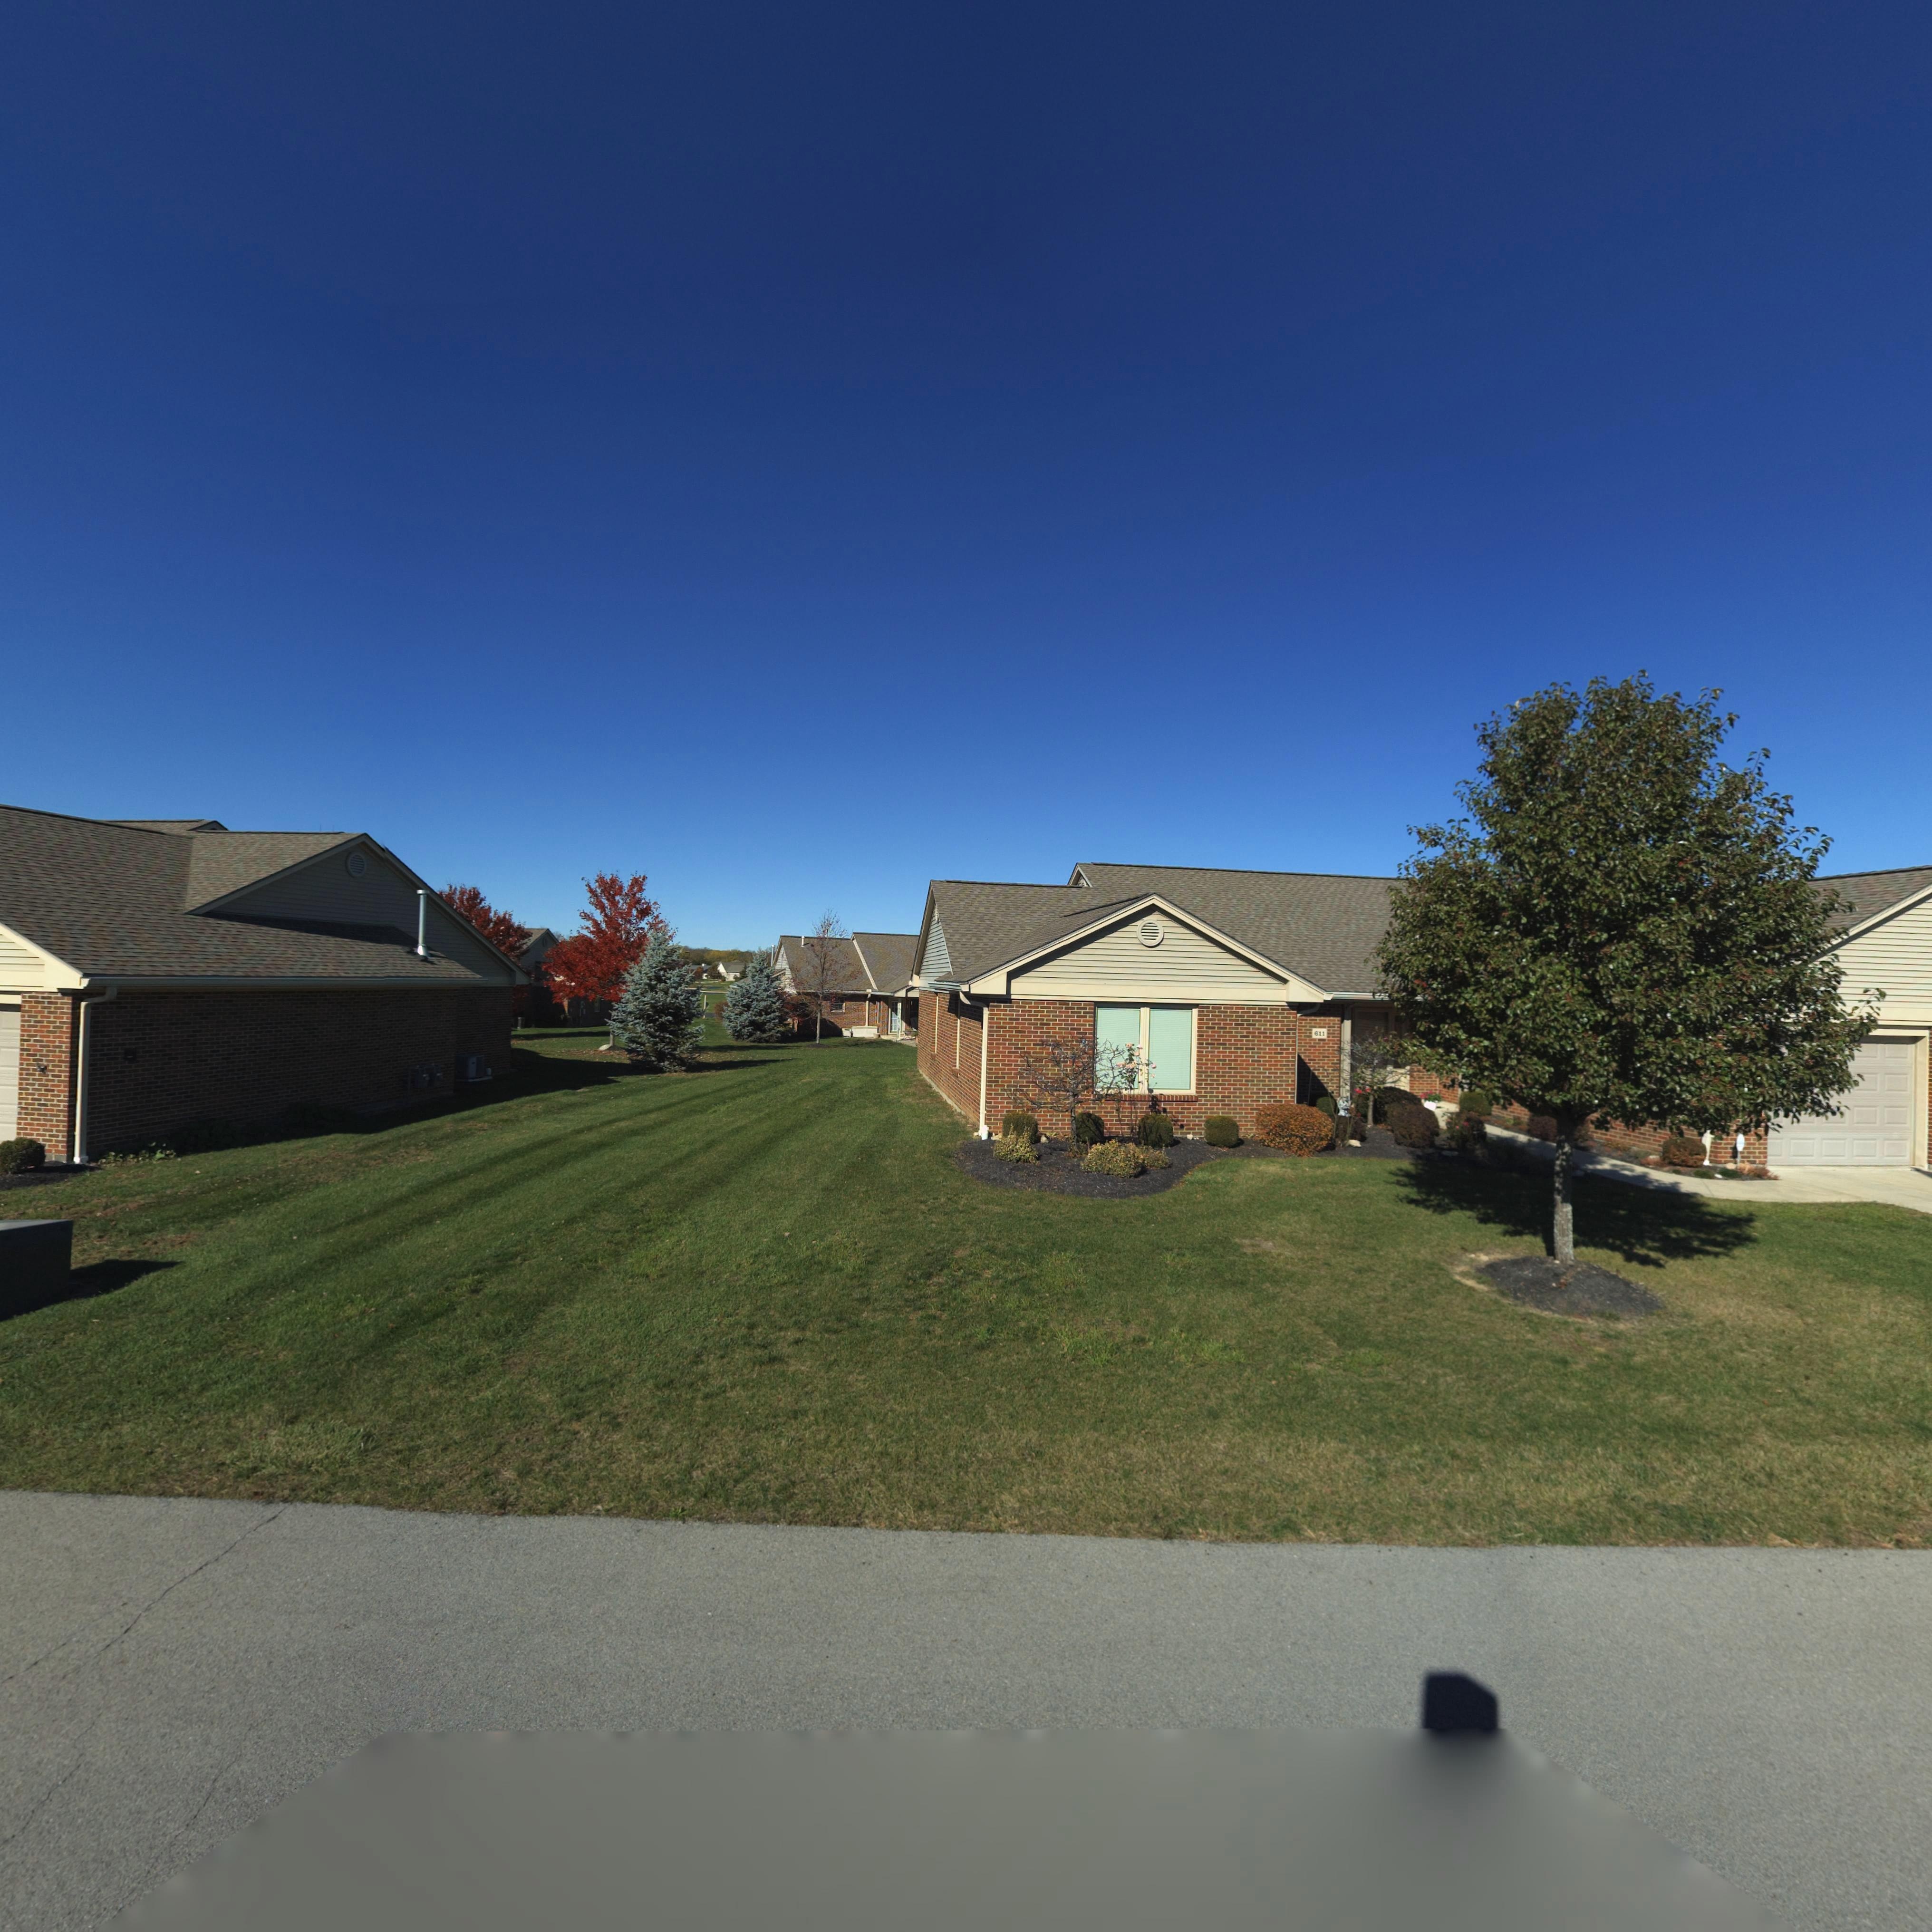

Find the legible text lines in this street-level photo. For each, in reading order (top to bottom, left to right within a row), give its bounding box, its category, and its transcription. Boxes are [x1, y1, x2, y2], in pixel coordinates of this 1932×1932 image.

[1314, 1031, 1325, 1036] StreetNumber: 611